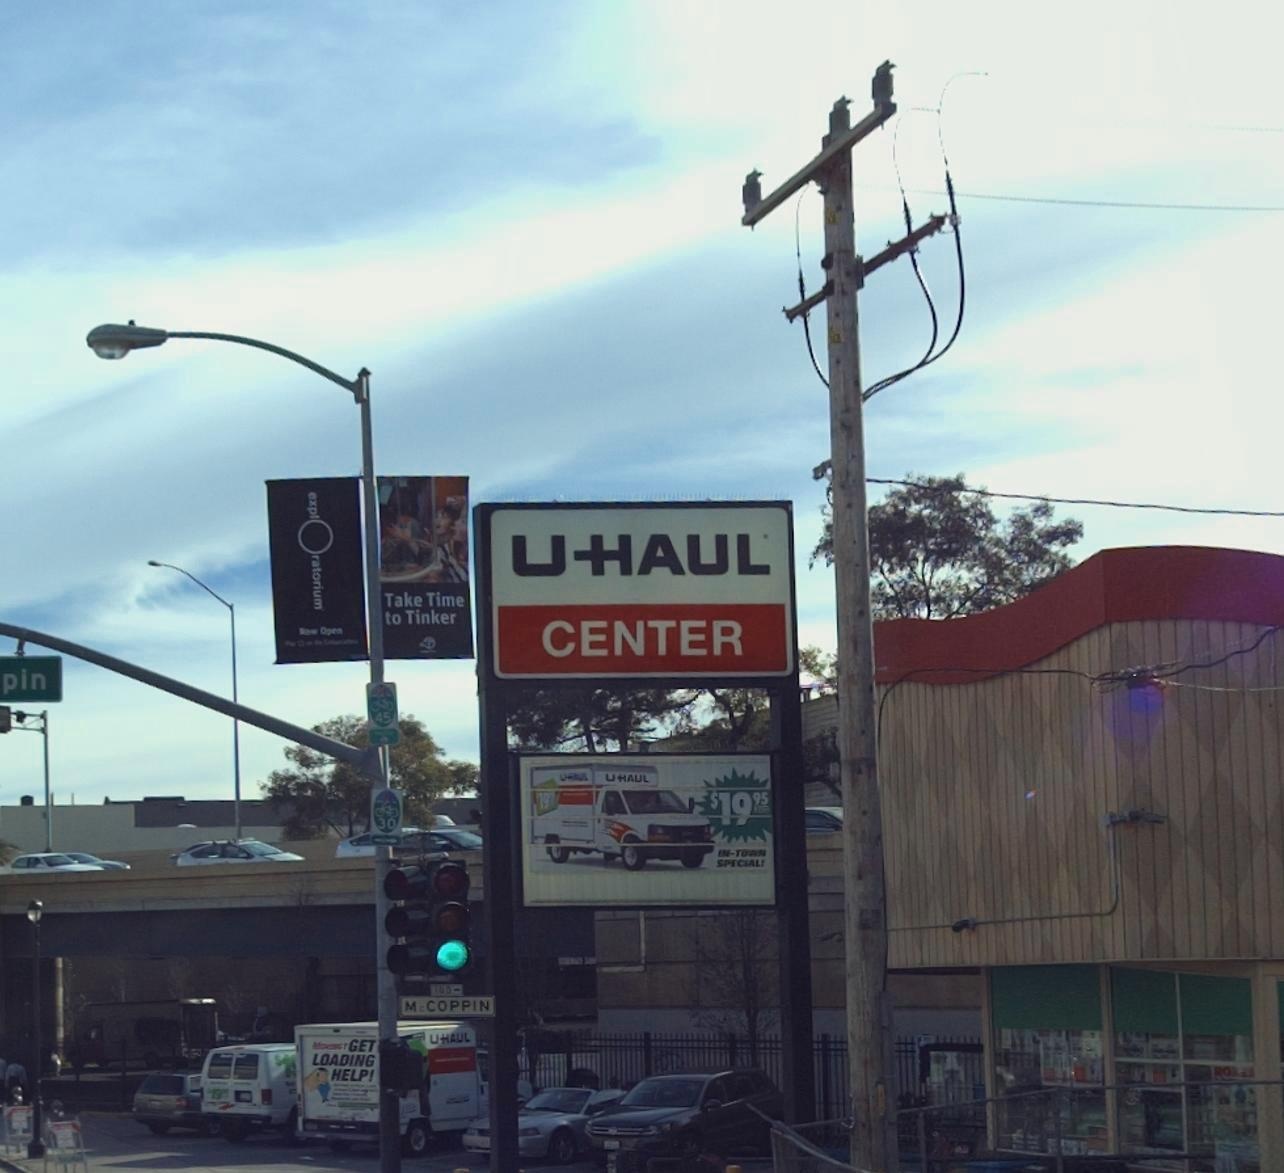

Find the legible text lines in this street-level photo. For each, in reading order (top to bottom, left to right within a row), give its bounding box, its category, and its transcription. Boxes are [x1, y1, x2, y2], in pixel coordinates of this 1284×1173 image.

[303, 489, 327, 612] None: expl*ratorium
[507, 529, 776, 581] BusinessName: U HAUL
[381, 589, 467, 610] None: Take Time
[382, 607, 460, 628] None: to Tinker
[538, 615, 747, 662] BusinessName: CENTER
[0, 664, 49, 698] StreetName: pin
[372, 709, 394, 726] None: 45
[557, 769, 592, 785] BusinessName: U HAUL
[603, 770, 651, 785] BusinessName: U HAUL
[537, 789, 552, 812] None: 19
[715, 788, 756, 829] None: 19
[750, 789, 771, 806] None: 95
[376, 816, 398, 831] None: 30
[713, 846, 772, 859] None: IN-TOWN
[712, 857, 768, 869] None: SPECIALS
[431, 983, 464, 996] StreetNumberRange: 100*
[402, 996, 493, 1016] StreetName: McCOPPIN
[345, 1036, 381, 1054] None: GET
[427, 1030, 475, 1047] BusinessName: U HAUL
[307, 1051, 380, 1068] None: LOADING
[325, 1066, 379, 1084] None: HELP!